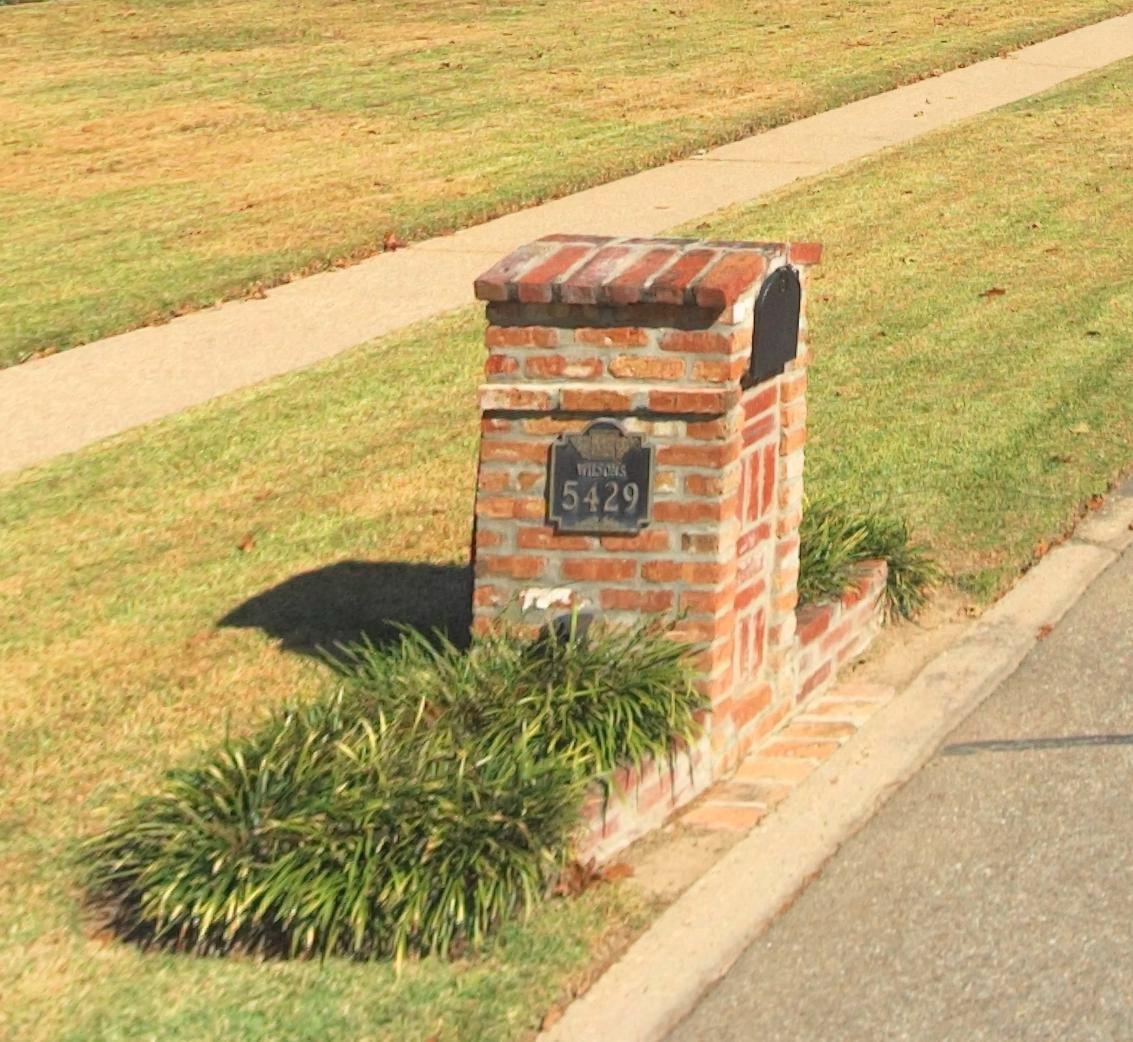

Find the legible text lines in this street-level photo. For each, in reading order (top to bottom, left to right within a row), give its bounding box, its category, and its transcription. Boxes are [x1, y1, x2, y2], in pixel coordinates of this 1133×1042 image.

[558, 478, 642, 514] StreetNumber: 5429